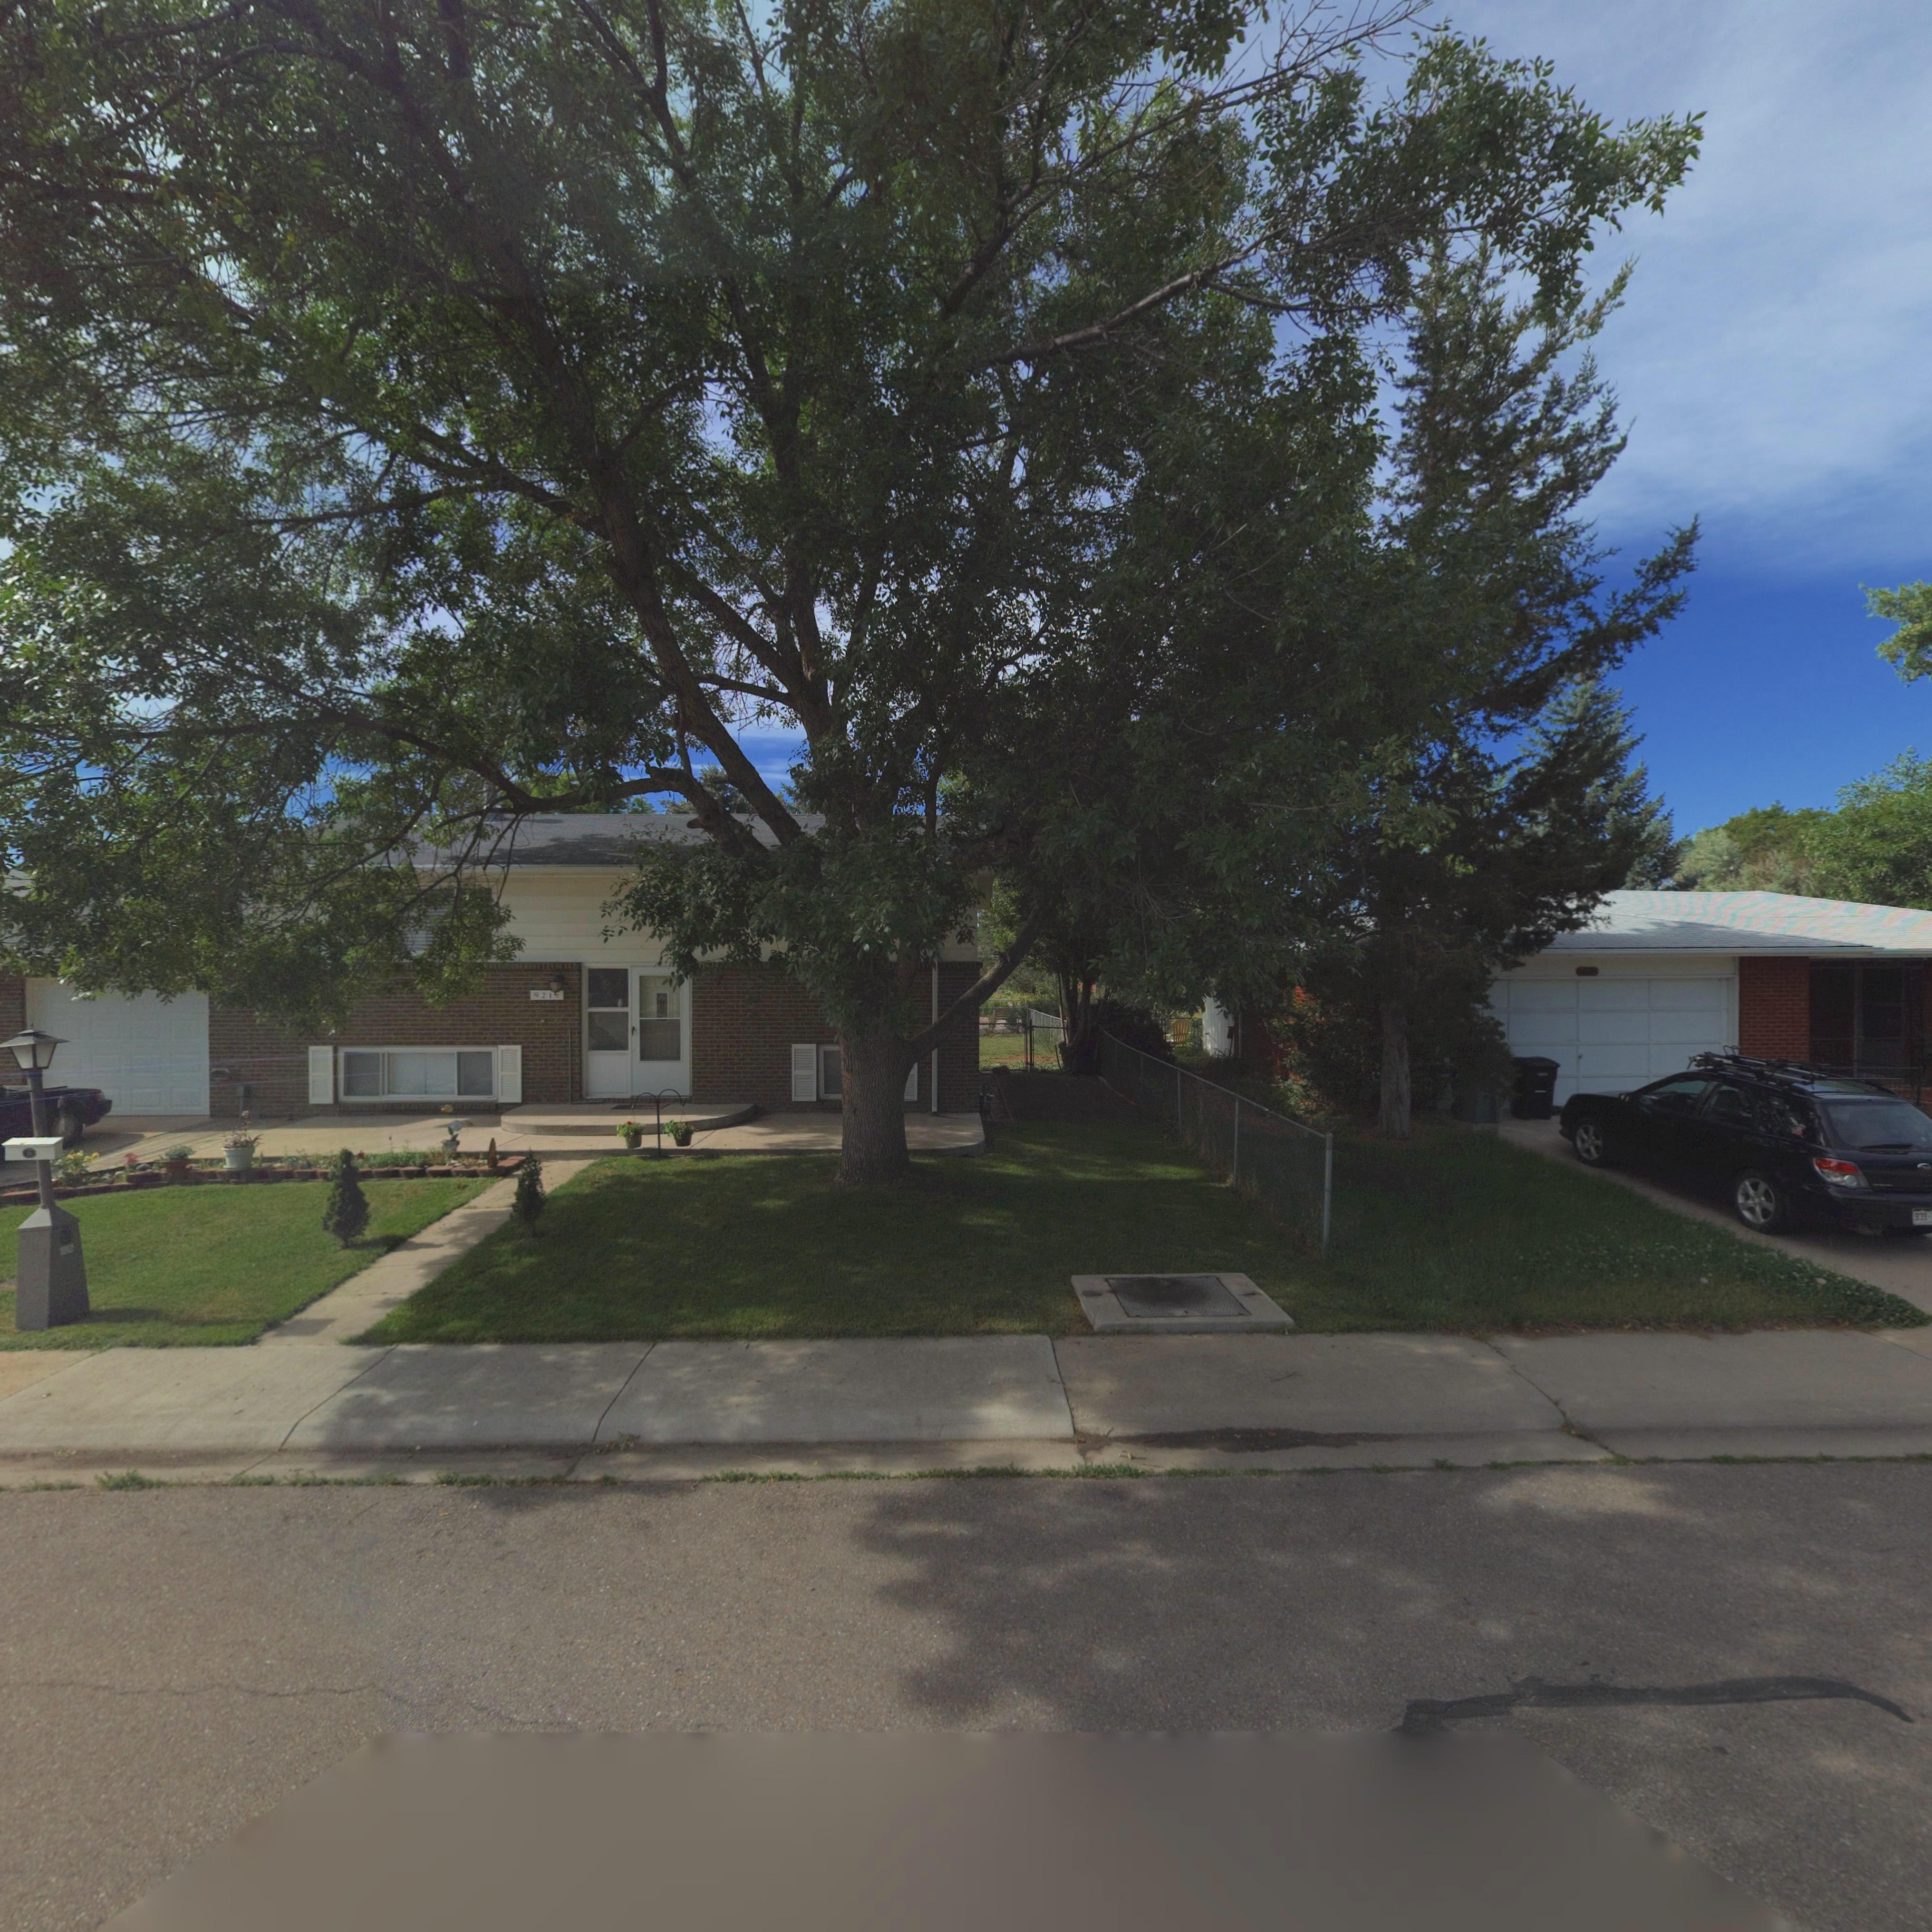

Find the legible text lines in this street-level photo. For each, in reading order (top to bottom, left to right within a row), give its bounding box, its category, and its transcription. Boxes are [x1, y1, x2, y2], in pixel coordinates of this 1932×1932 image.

[533, 992, 551, 999] StreetNumber: 921